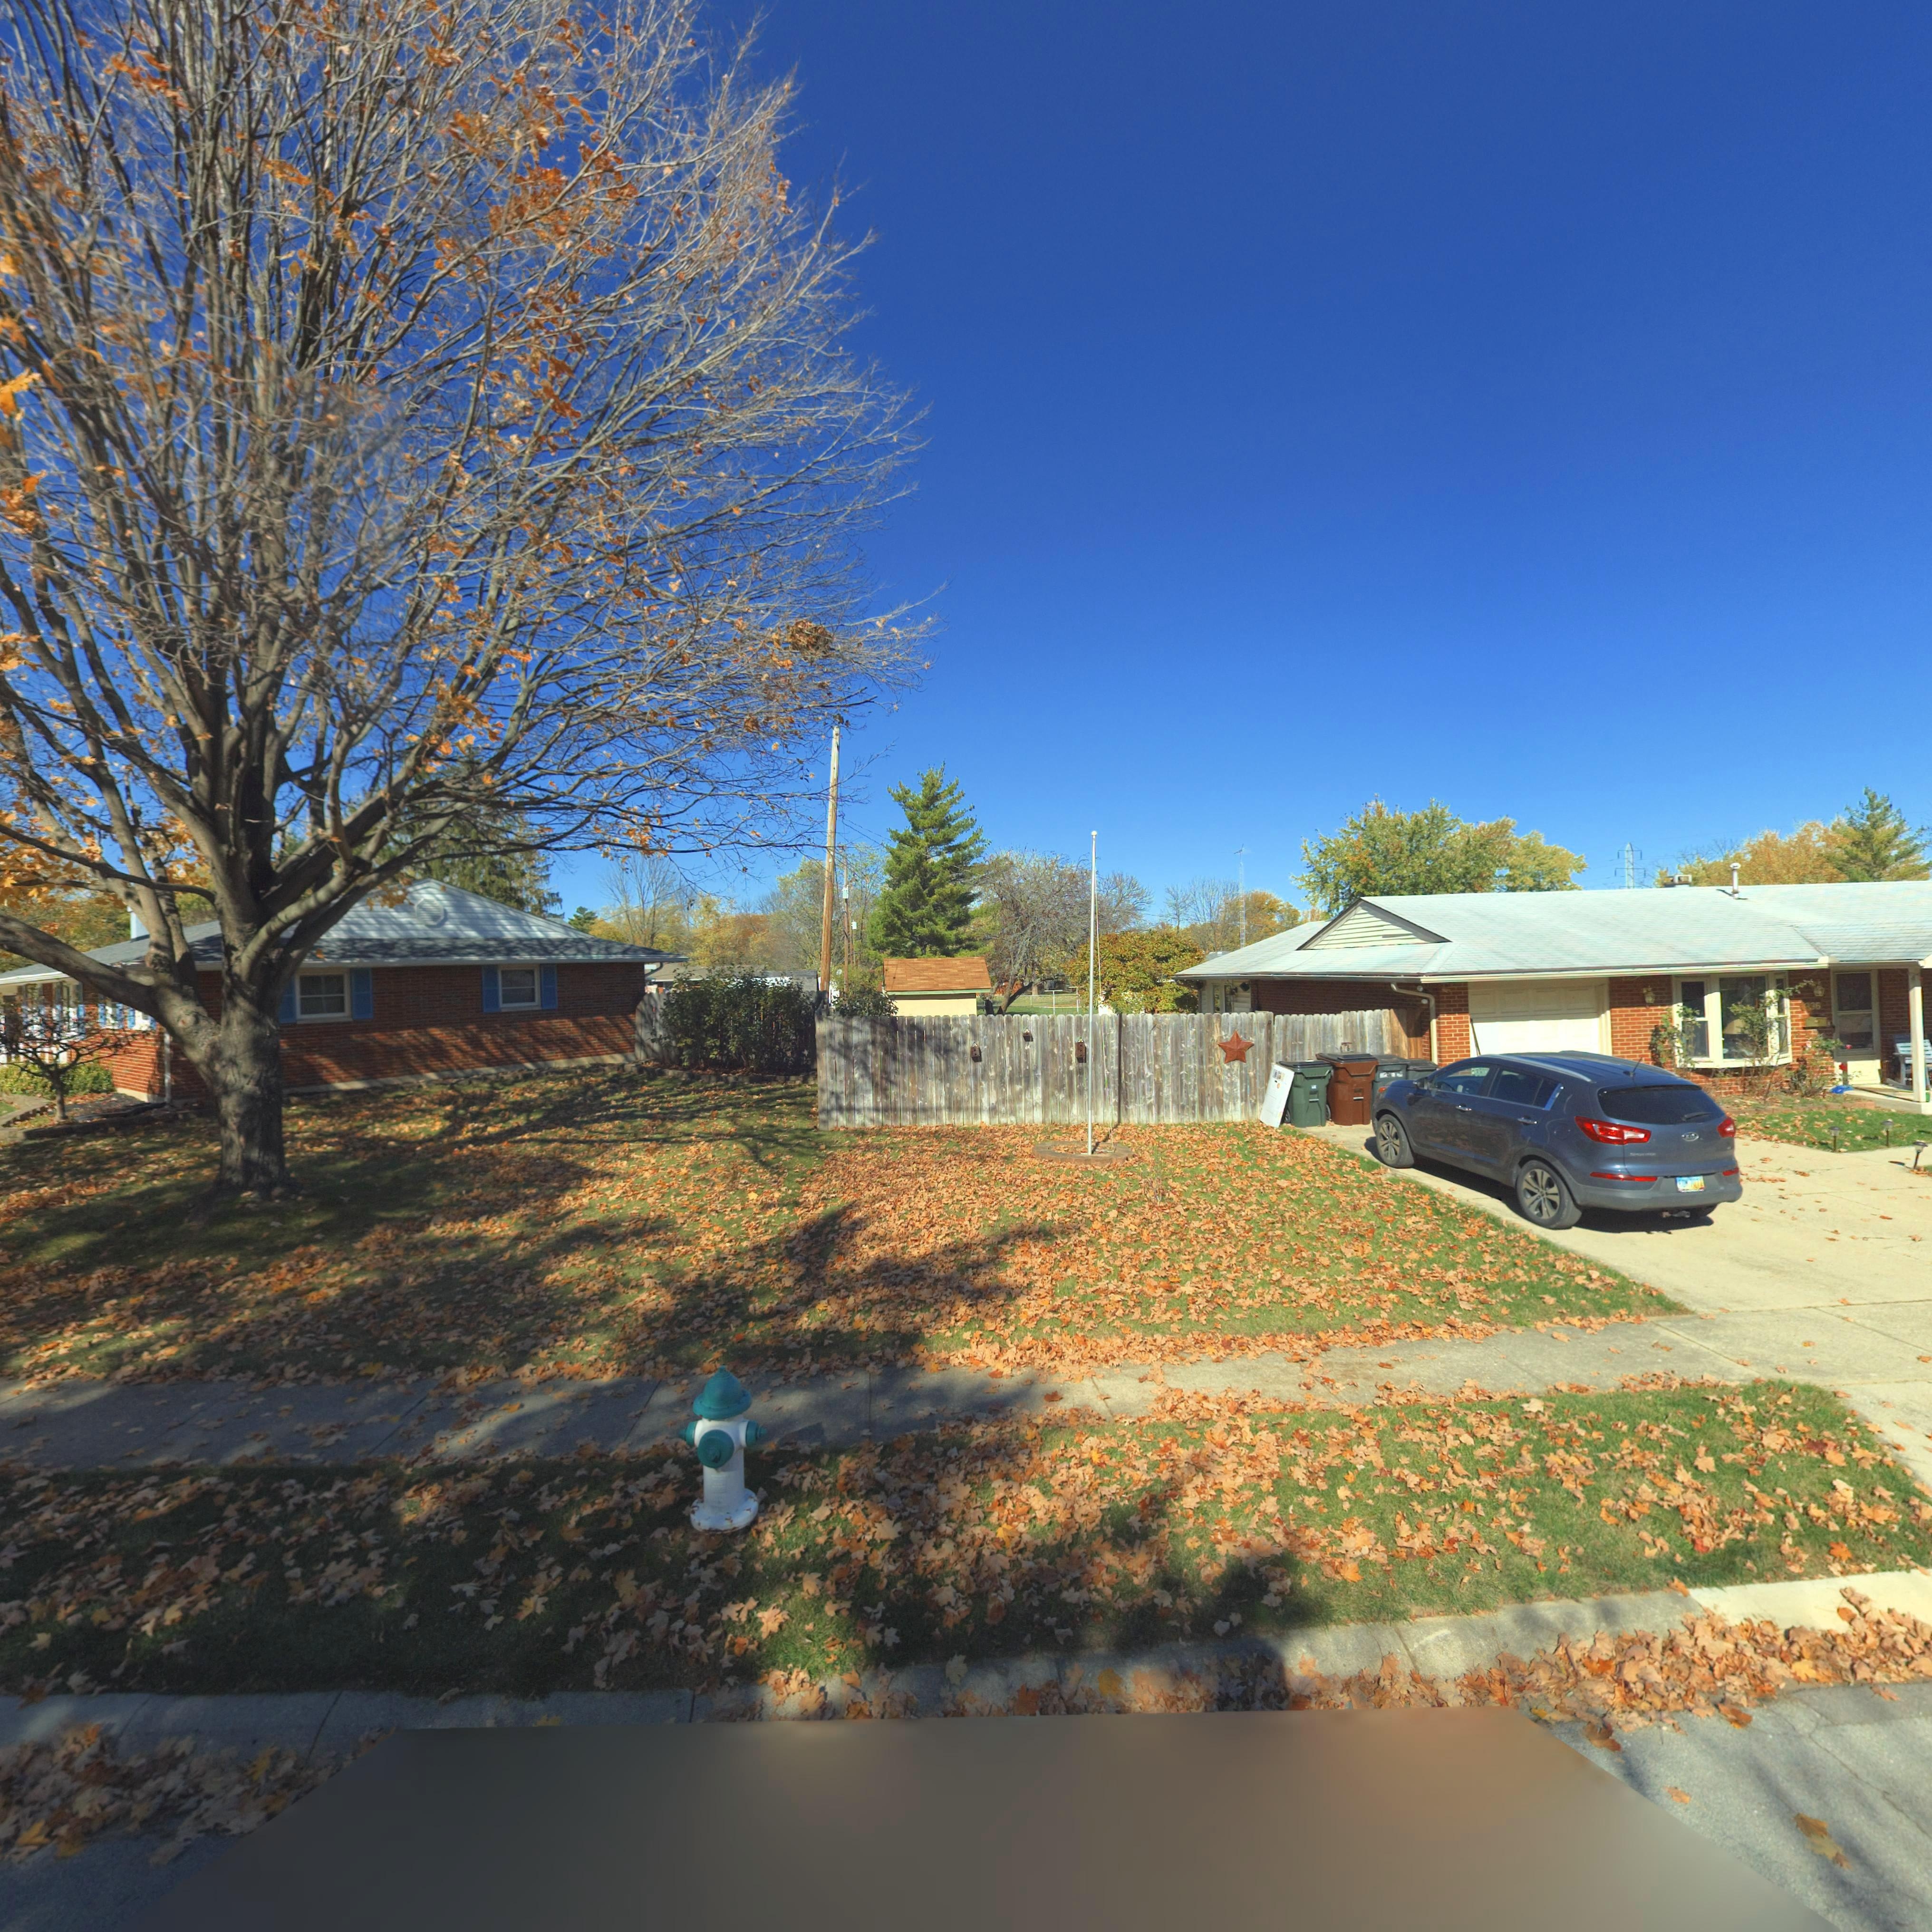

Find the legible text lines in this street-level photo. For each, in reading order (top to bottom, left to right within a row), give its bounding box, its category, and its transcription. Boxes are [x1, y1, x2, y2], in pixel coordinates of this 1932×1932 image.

[1804, 1001, 1822, 1012] StreetNumber: *36